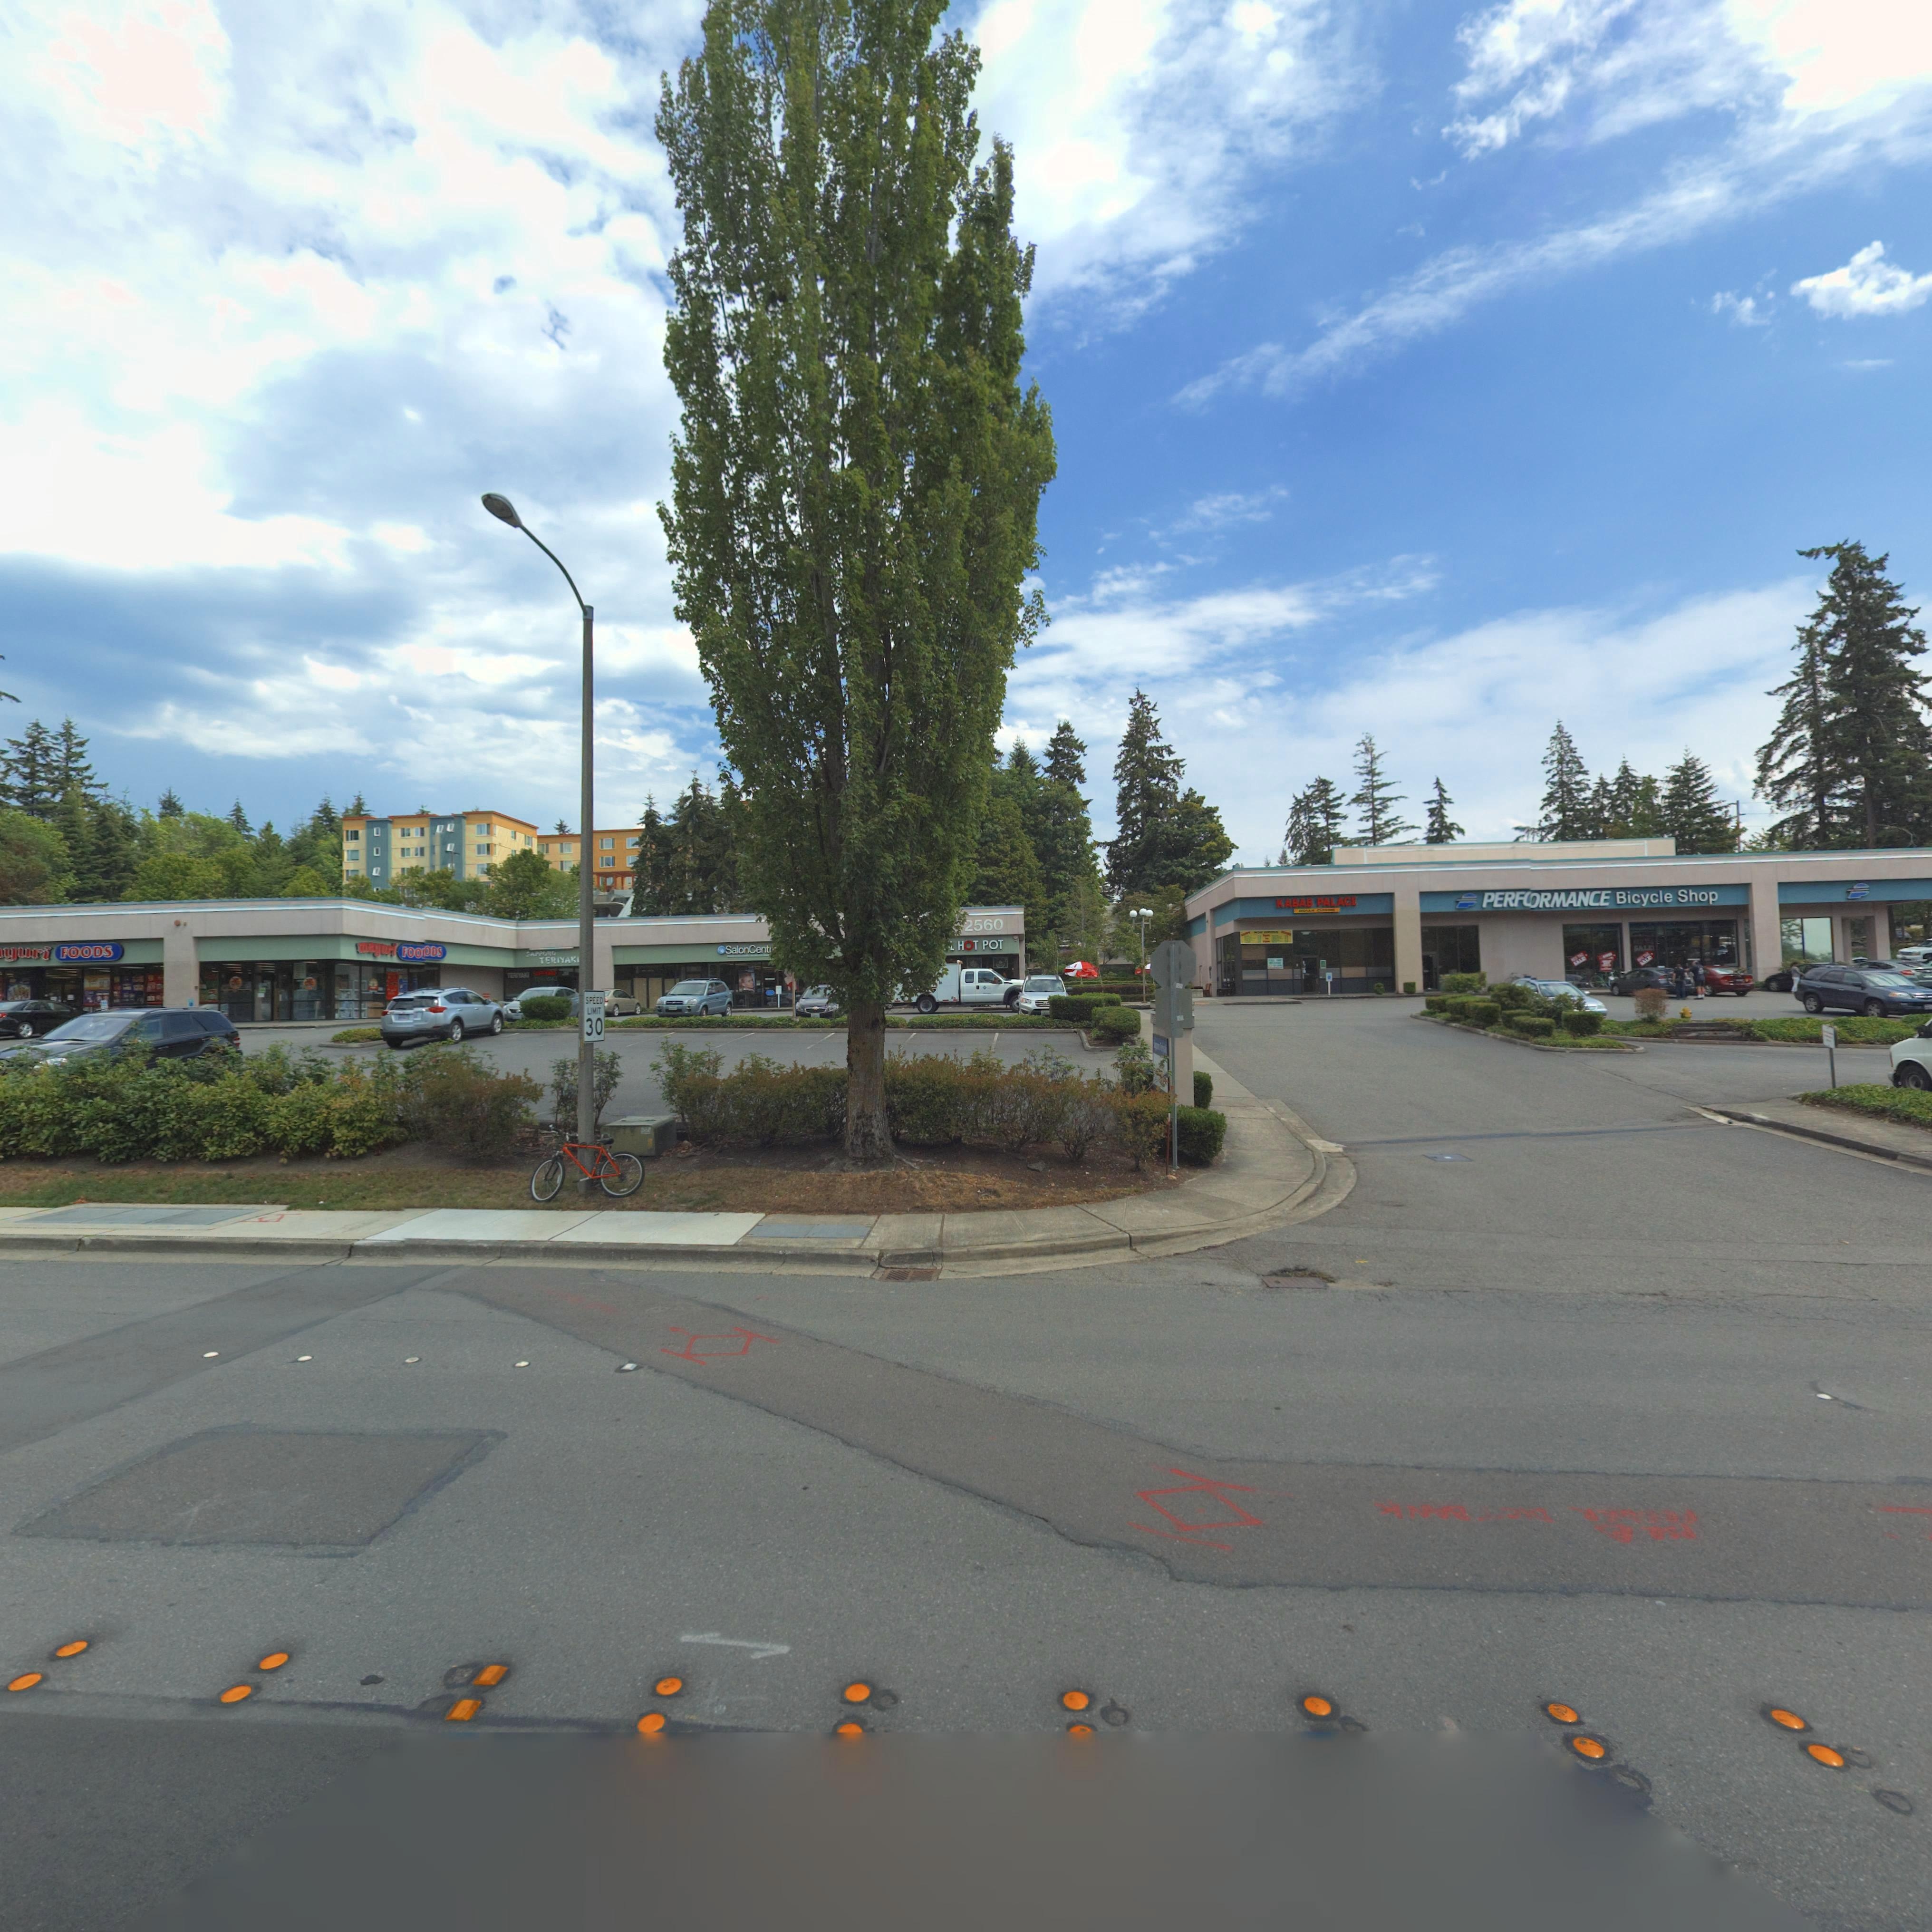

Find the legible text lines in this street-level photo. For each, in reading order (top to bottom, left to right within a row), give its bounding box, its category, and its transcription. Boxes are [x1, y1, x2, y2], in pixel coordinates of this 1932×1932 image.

[1275, 896, 1358, 908] BusinessName: KABAB PALACE
[1483, 891, 1611, 907] BusinessName: PERF**RMANCE
[1616, 890, 1719, 907] BusinessName: Bicycle Shop
[965, 918, 1003, 931] StreetNumber: 2560
[3, 946, 51, 962] BusinessName: yuri
[60, 945, 113, 958] BusinessName: FOODS
[357, 941, 397, 958] BusinessName: mayur*
[401, 946, 444, 959] BusinessName: F**DS
[526, 950, 555, 957] BusinessName: SAPPORO
[539, 956, 579, 964] BusinessName: TERIYAKI
[725, 945, 771, 953] BusinessName: SalonCent*
[957, 939, 1003, 950] BusinessName: HOT POT